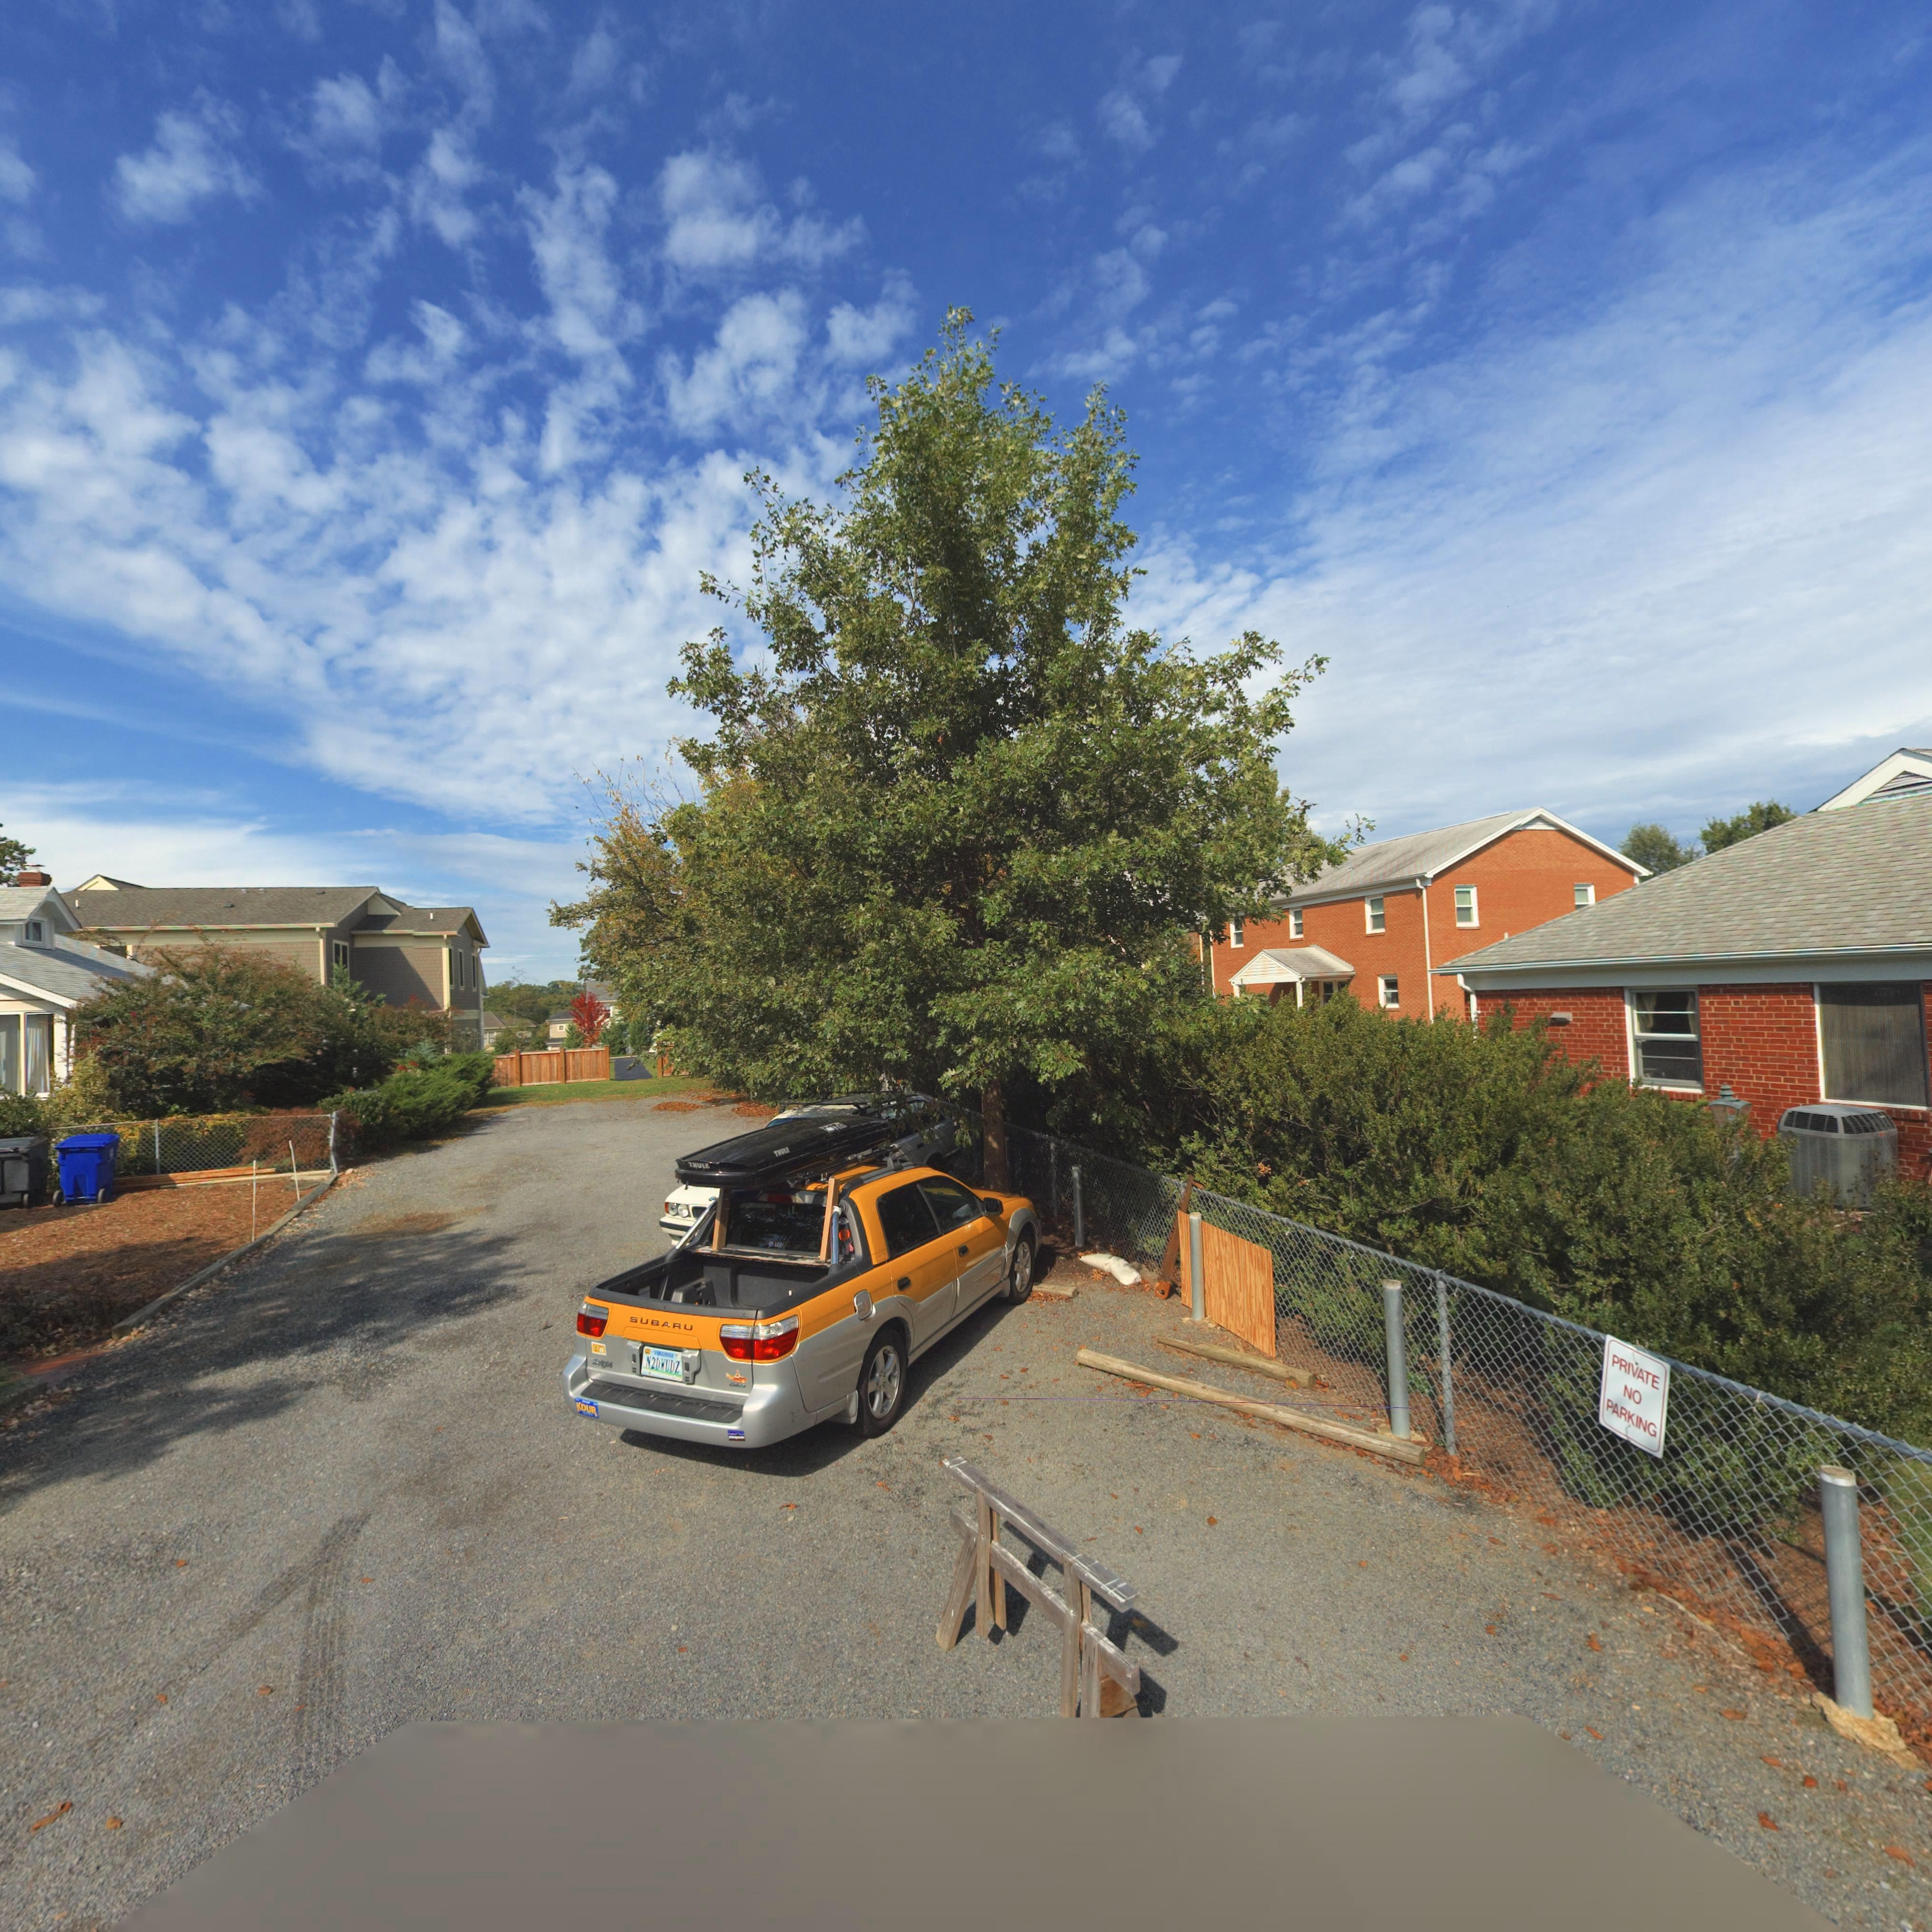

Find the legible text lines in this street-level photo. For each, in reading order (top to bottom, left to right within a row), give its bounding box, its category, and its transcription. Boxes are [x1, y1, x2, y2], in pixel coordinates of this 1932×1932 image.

[771, 1145, 792, 1159] None: T*UL*
[686, 1161, 711, 1170] None: THULE
[628, 1315, 695, 1332] None: SUBARU
[644, 1354, 681, 1375] None: N2D*UDZ
[1610, 1352, 1661, 1392] None: PRIVATE
[1622, 1381, 1643, 1406] None: NO
[574, 1401, 599, 1418] None: KDUR
[1605, 1396, 1658, 1439] None: PARKING